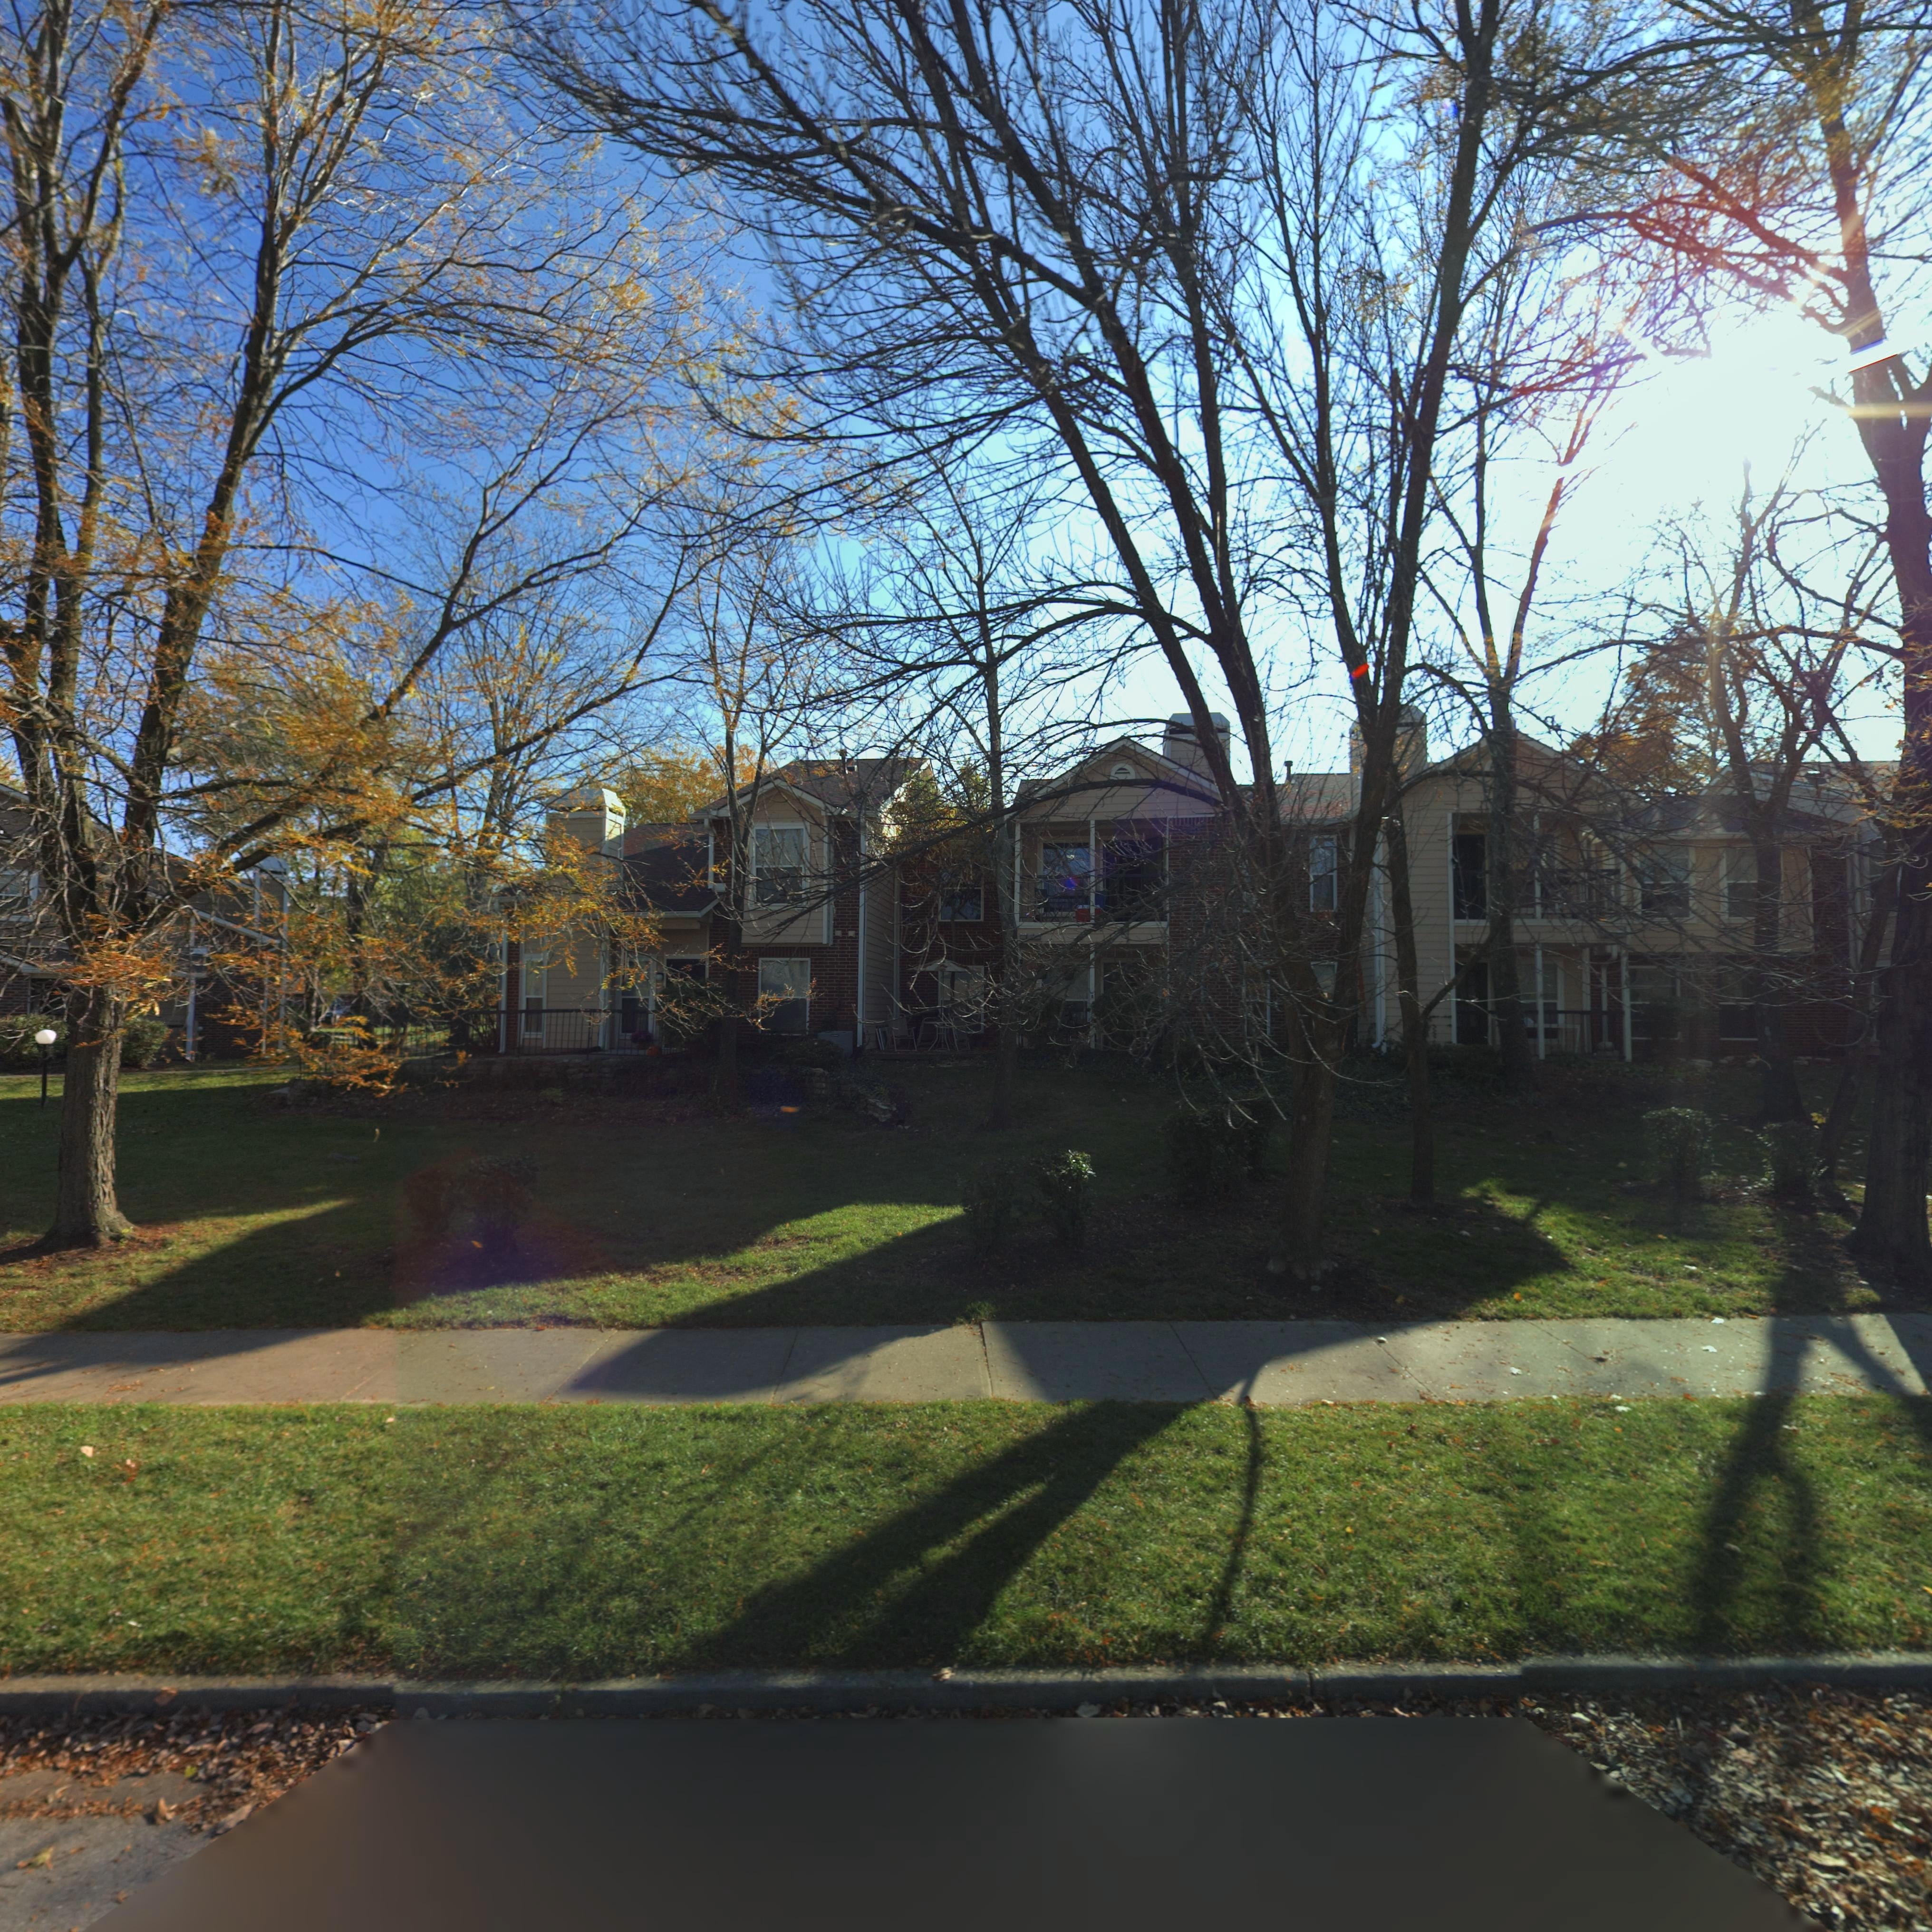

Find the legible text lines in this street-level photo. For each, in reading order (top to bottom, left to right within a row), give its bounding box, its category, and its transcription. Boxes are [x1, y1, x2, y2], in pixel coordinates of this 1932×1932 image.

[671, 943, 683, 948] StreetNumber: *37